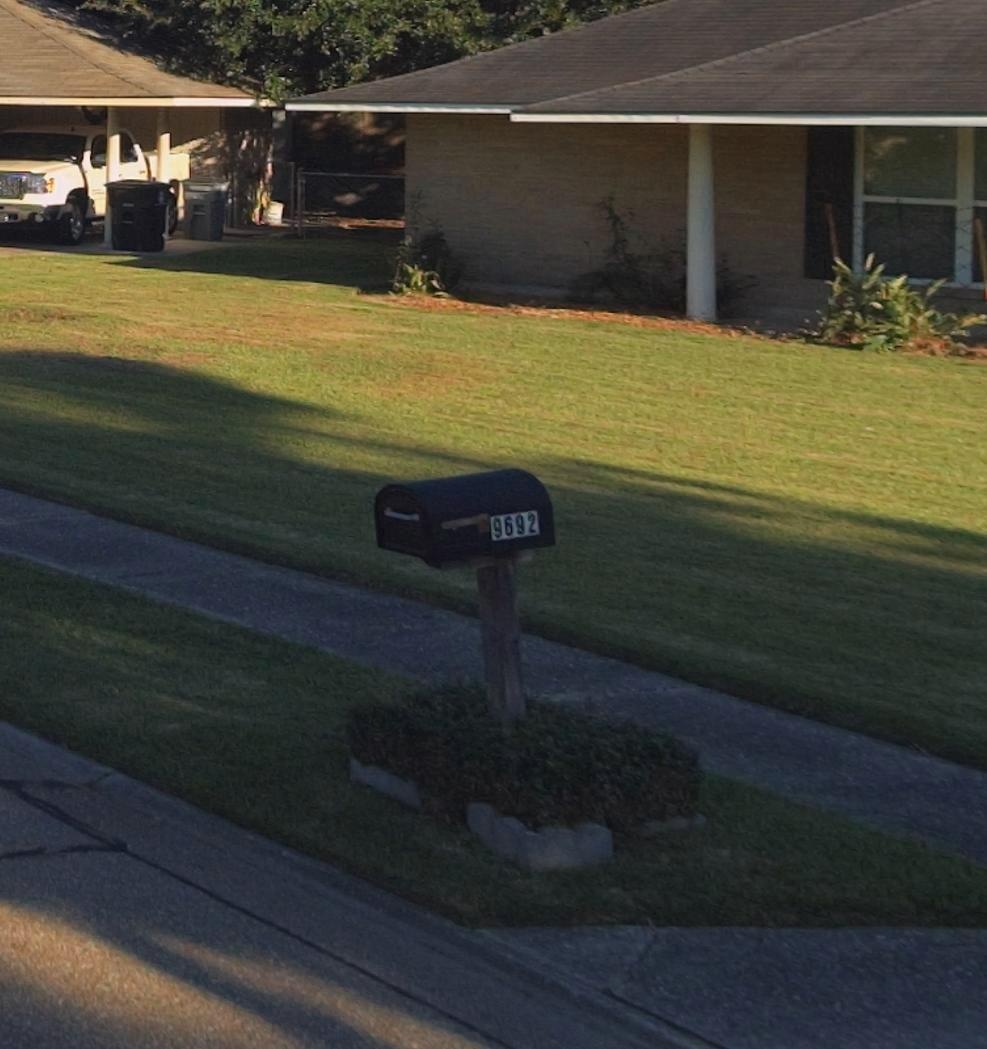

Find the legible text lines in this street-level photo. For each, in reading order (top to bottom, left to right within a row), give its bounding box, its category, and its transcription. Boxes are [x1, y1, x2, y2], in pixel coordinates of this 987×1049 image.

[492, 511, 537, 541] StreetNumber: 9692